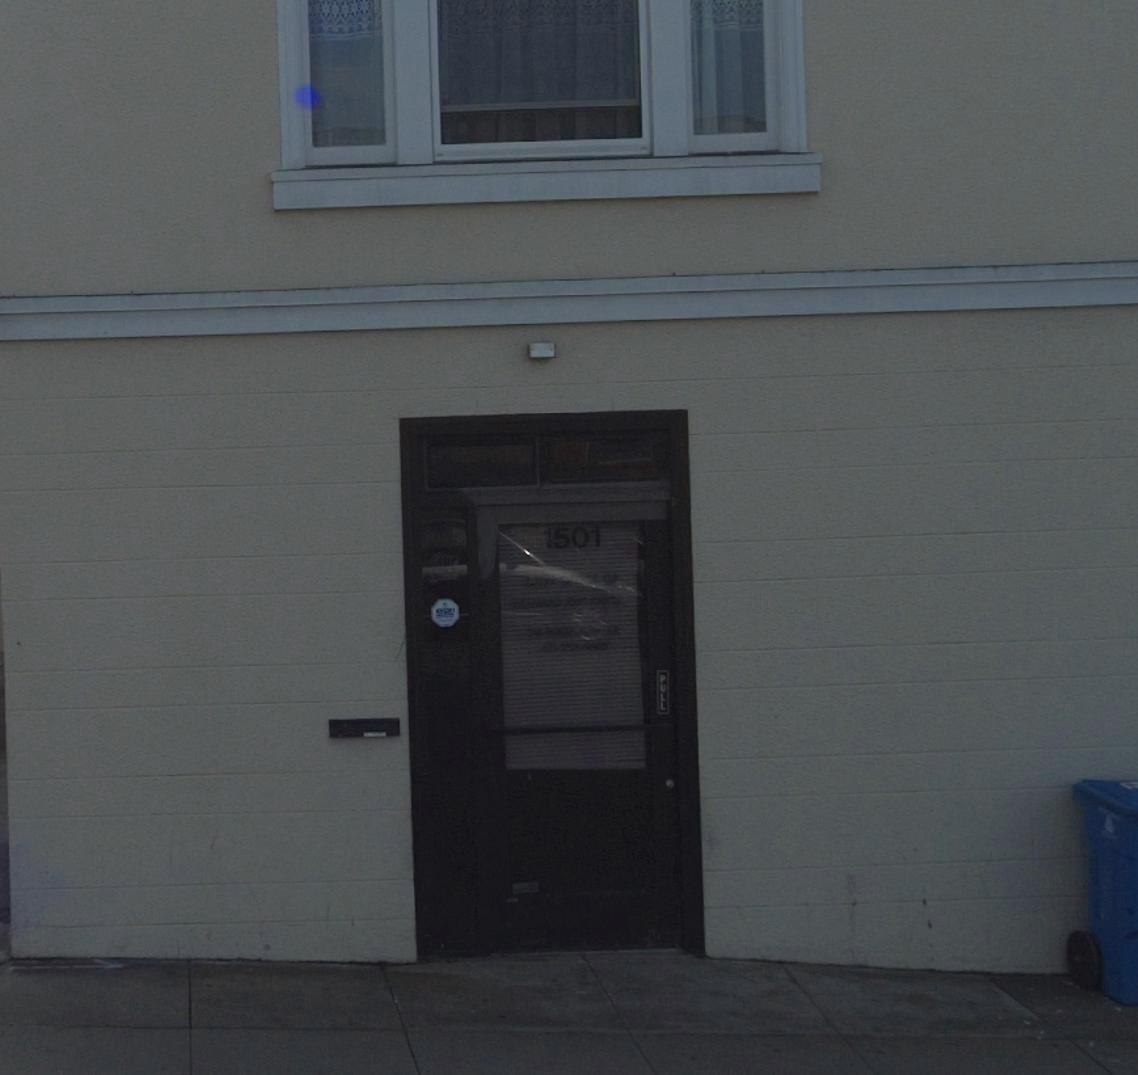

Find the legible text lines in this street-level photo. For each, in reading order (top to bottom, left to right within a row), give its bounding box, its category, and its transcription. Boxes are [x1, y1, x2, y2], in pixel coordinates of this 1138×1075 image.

[541, 524, 602, 549] StreetNumber: 1501
[658, 673, 668, 712] None: PULL